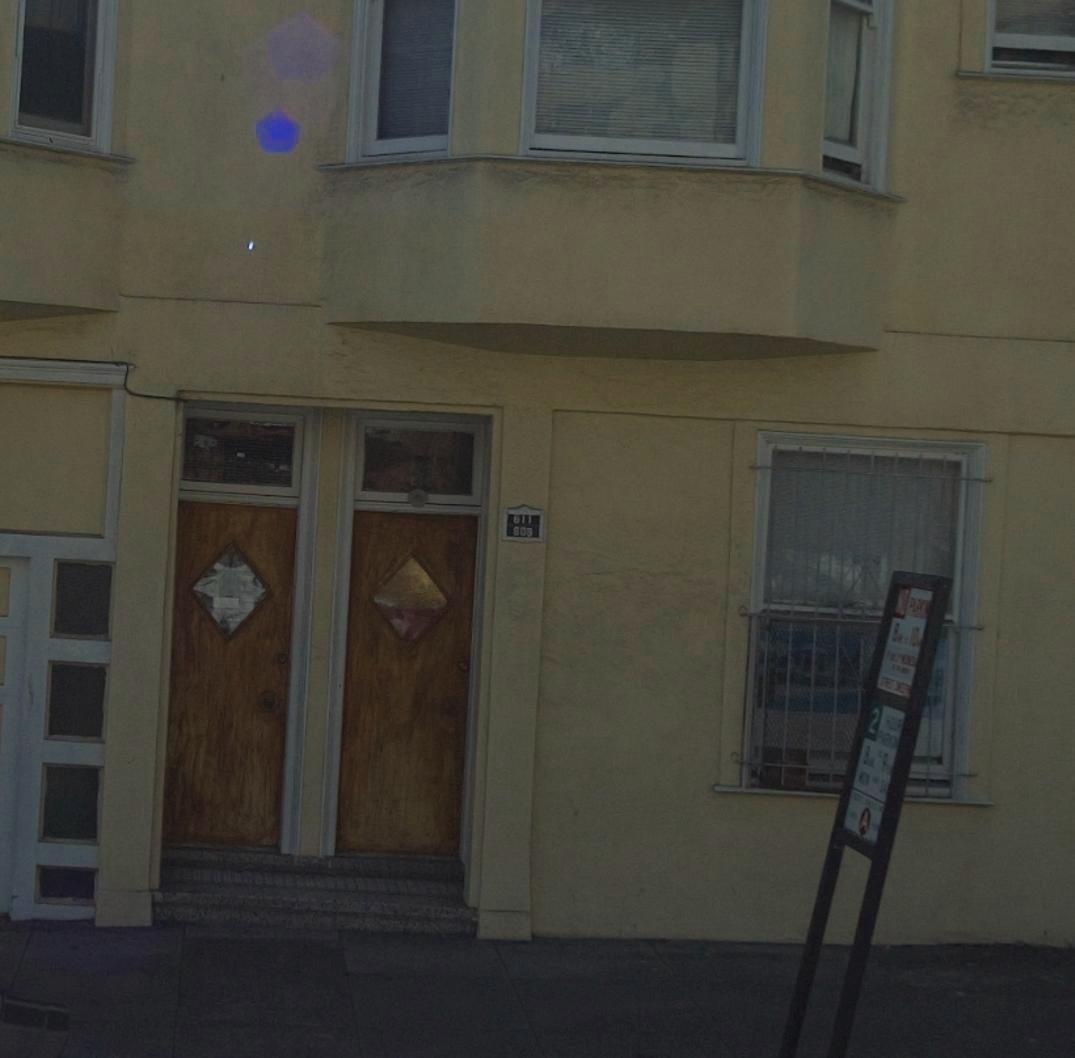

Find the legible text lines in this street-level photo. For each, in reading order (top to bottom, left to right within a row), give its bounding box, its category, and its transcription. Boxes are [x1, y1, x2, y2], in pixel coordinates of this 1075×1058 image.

[512, 525, 533, 538] StreetNumber: 609
[890, 621, 903, 644] None: 8
[907, 625, 922, 650] None: 10
[864, 707, 882, 737] None: 2
[861, 742, 873, 766] None: 8
[878, 751, 892, 774] None: 9
[855, 809, 870, 834] None: A